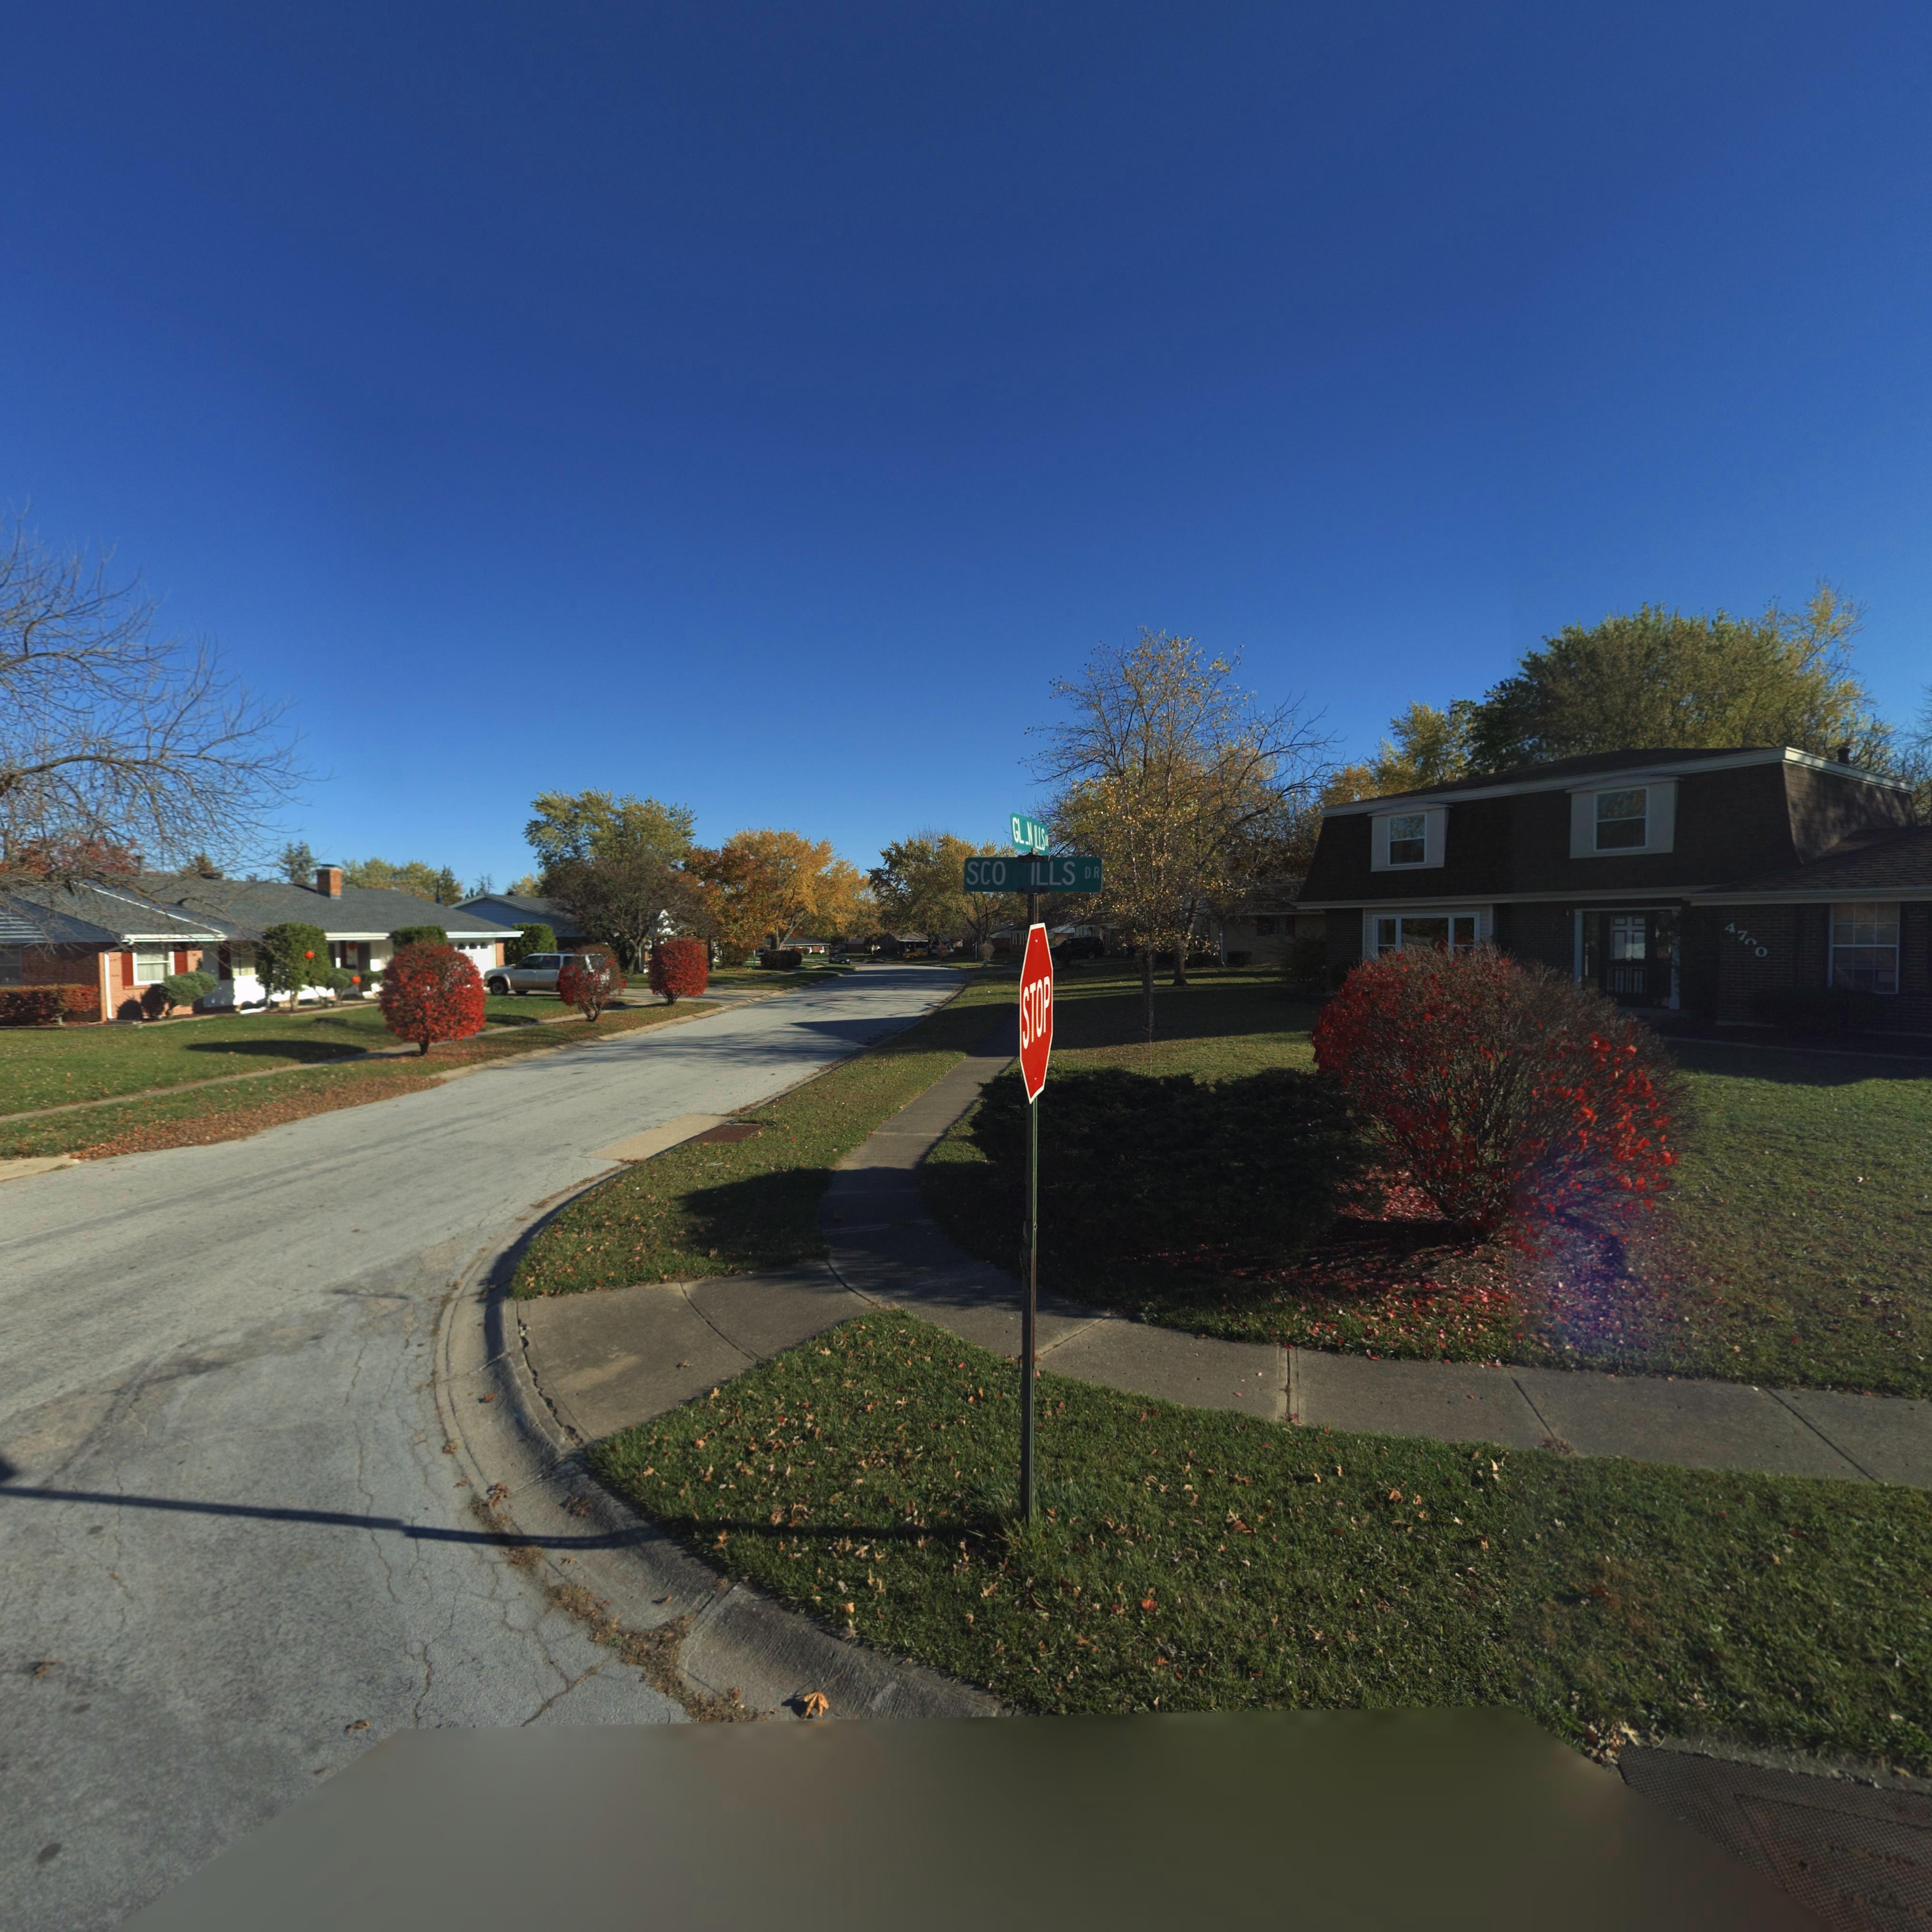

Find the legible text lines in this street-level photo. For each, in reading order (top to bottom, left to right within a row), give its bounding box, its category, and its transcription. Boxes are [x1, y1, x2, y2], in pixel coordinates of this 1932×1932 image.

[1012, 816, 1046, 852] StreetName: GL*N ILLS
[965, 860, 1101, 888] StreetName: SCO ILLS DR
[1723, 922, 1769, 959] StreetNumber: 47*0